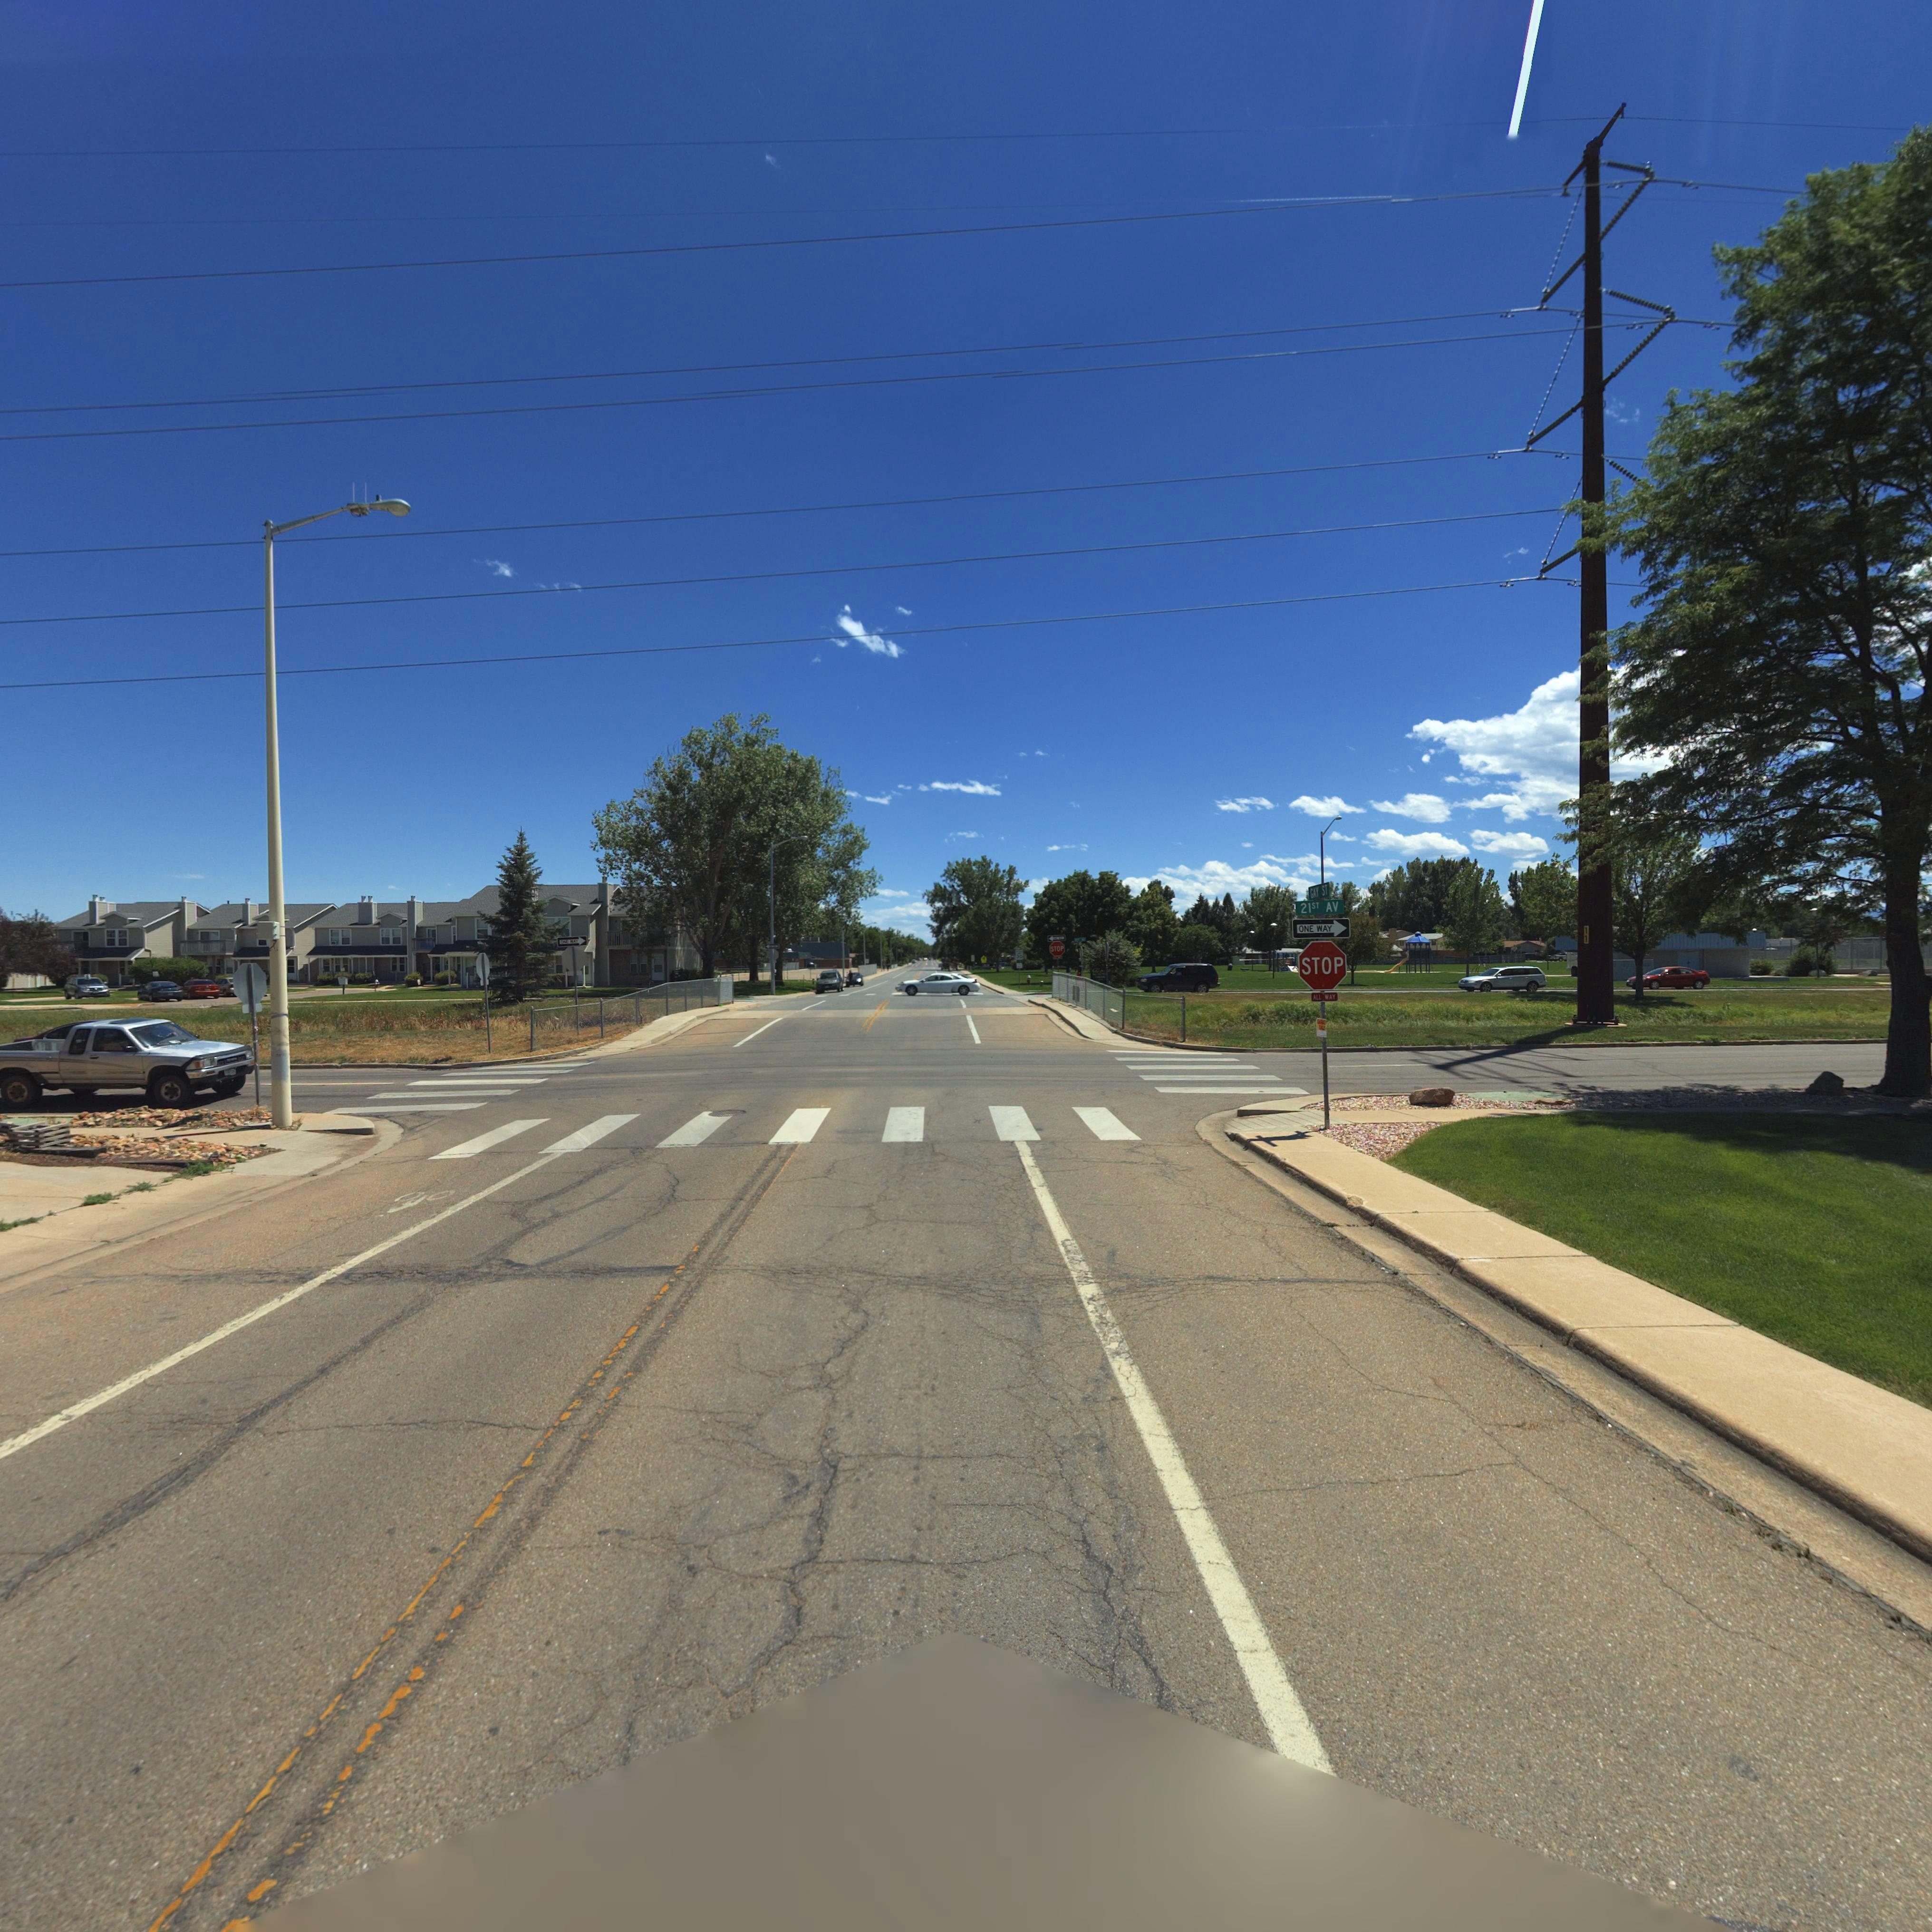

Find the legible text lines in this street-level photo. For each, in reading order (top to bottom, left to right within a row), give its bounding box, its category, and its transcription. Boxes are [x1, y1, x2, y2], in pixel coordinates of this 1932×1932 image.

[1310, 884, 1327, 898] StreetName: GAY ST
[1300, 901, 1339, 913] StreetName: 21ST AV